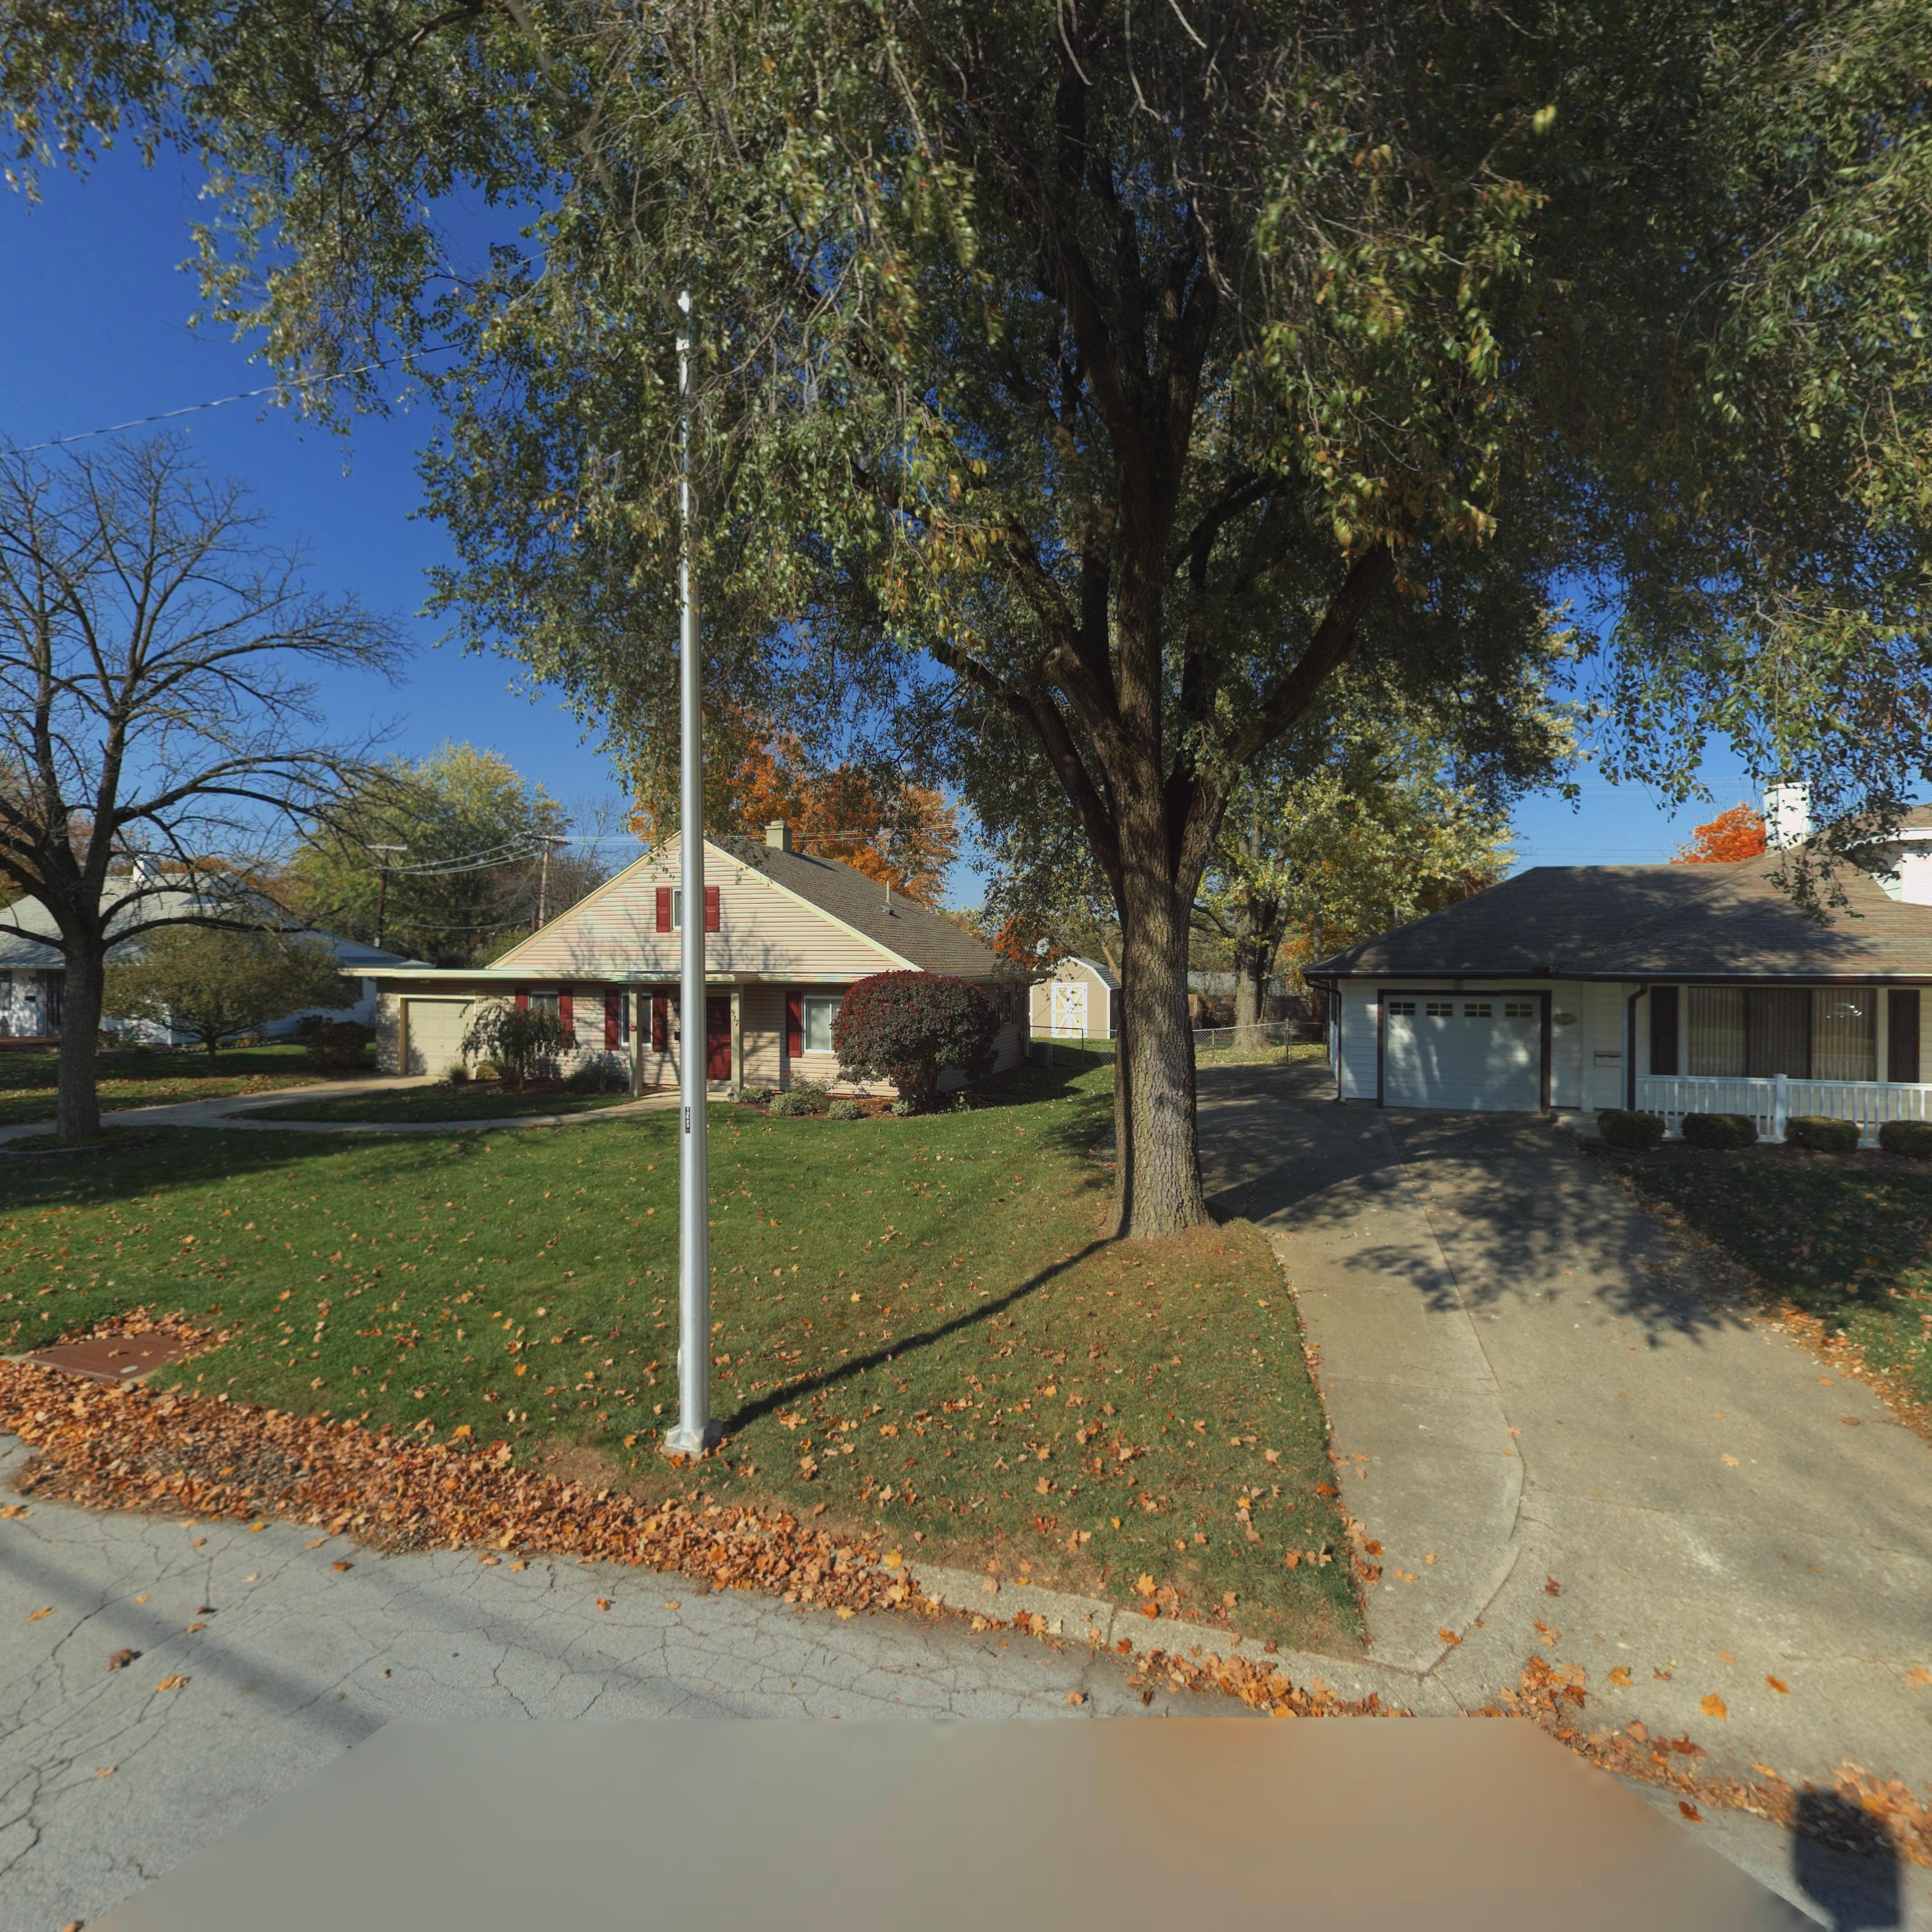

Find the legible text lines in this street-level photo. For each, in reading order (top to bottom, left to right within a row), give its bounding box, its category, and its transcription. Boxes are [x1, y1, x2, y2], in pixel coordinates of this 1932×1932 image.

[730, 1009, 739, 1027] StreetNumber: 917
[685, 1107, 690, 1128] None: 13*23